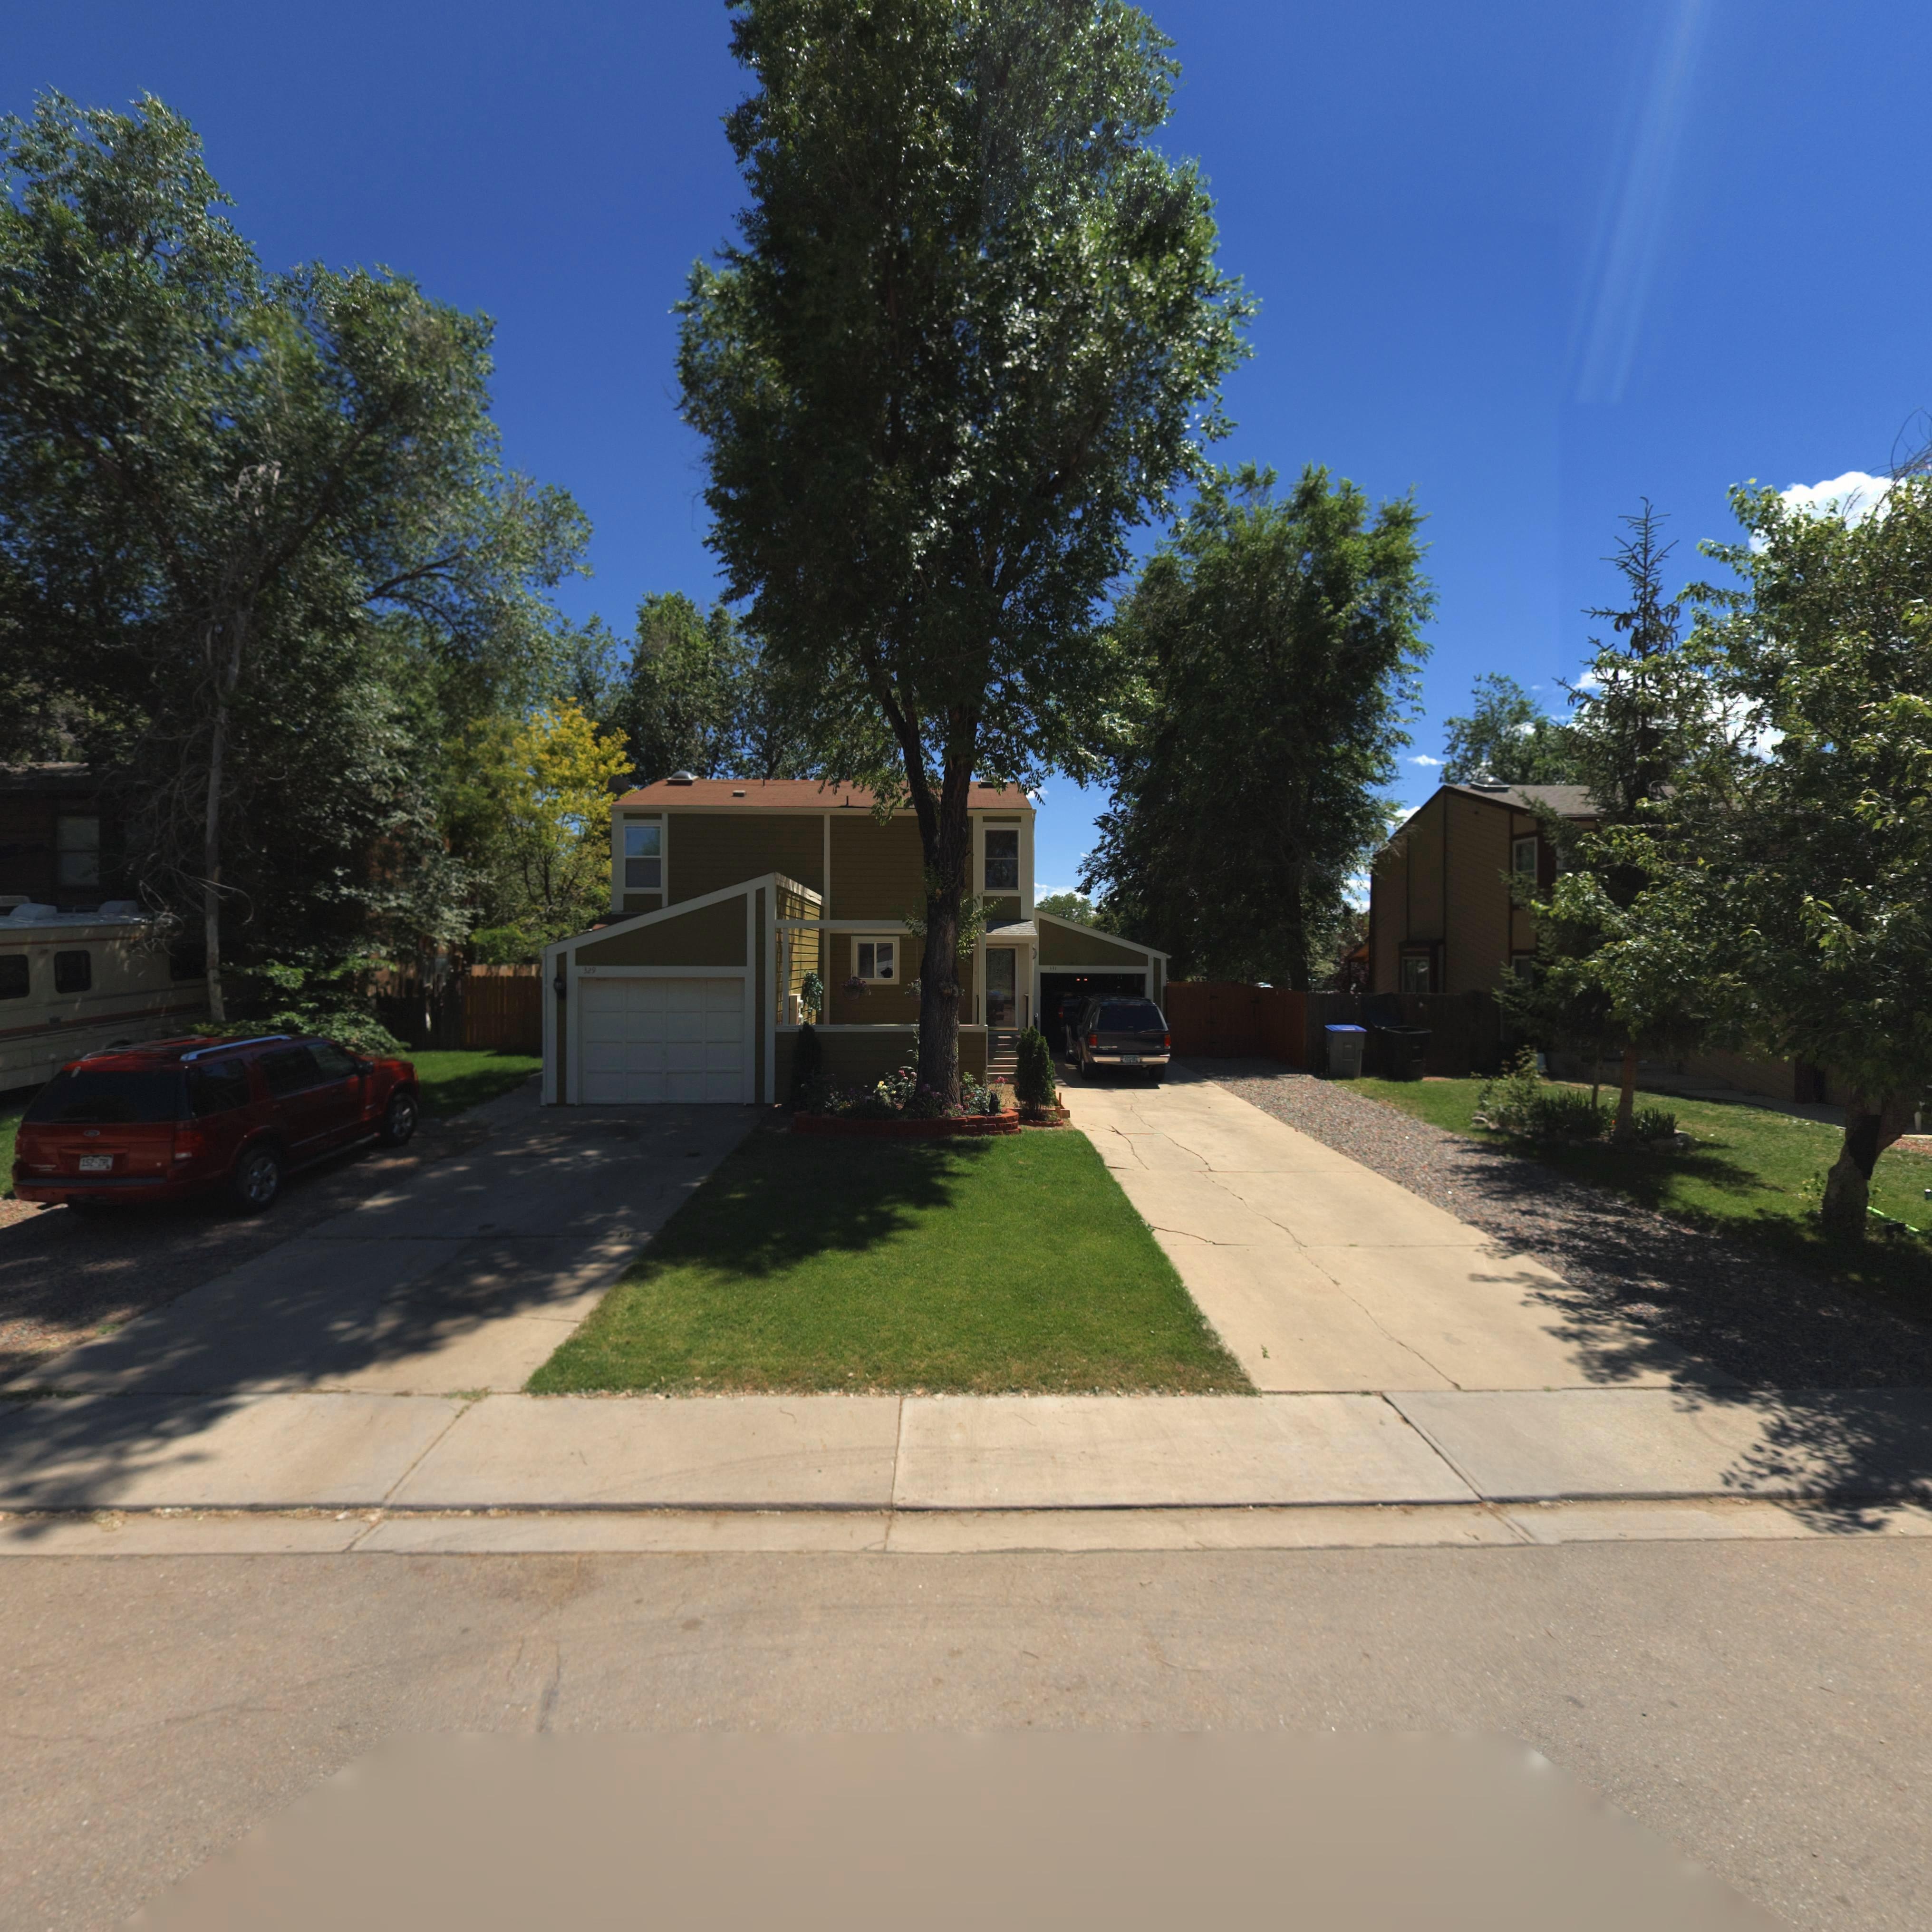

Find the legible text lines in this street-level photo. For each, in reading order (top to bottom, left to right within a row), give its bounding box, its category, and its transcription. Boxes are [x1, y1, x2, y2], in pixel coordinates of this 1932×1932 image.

[582, 966, 597, 974] StreetNumber: 329
[1048, 966, 1057, 971] StreetNumber: 331